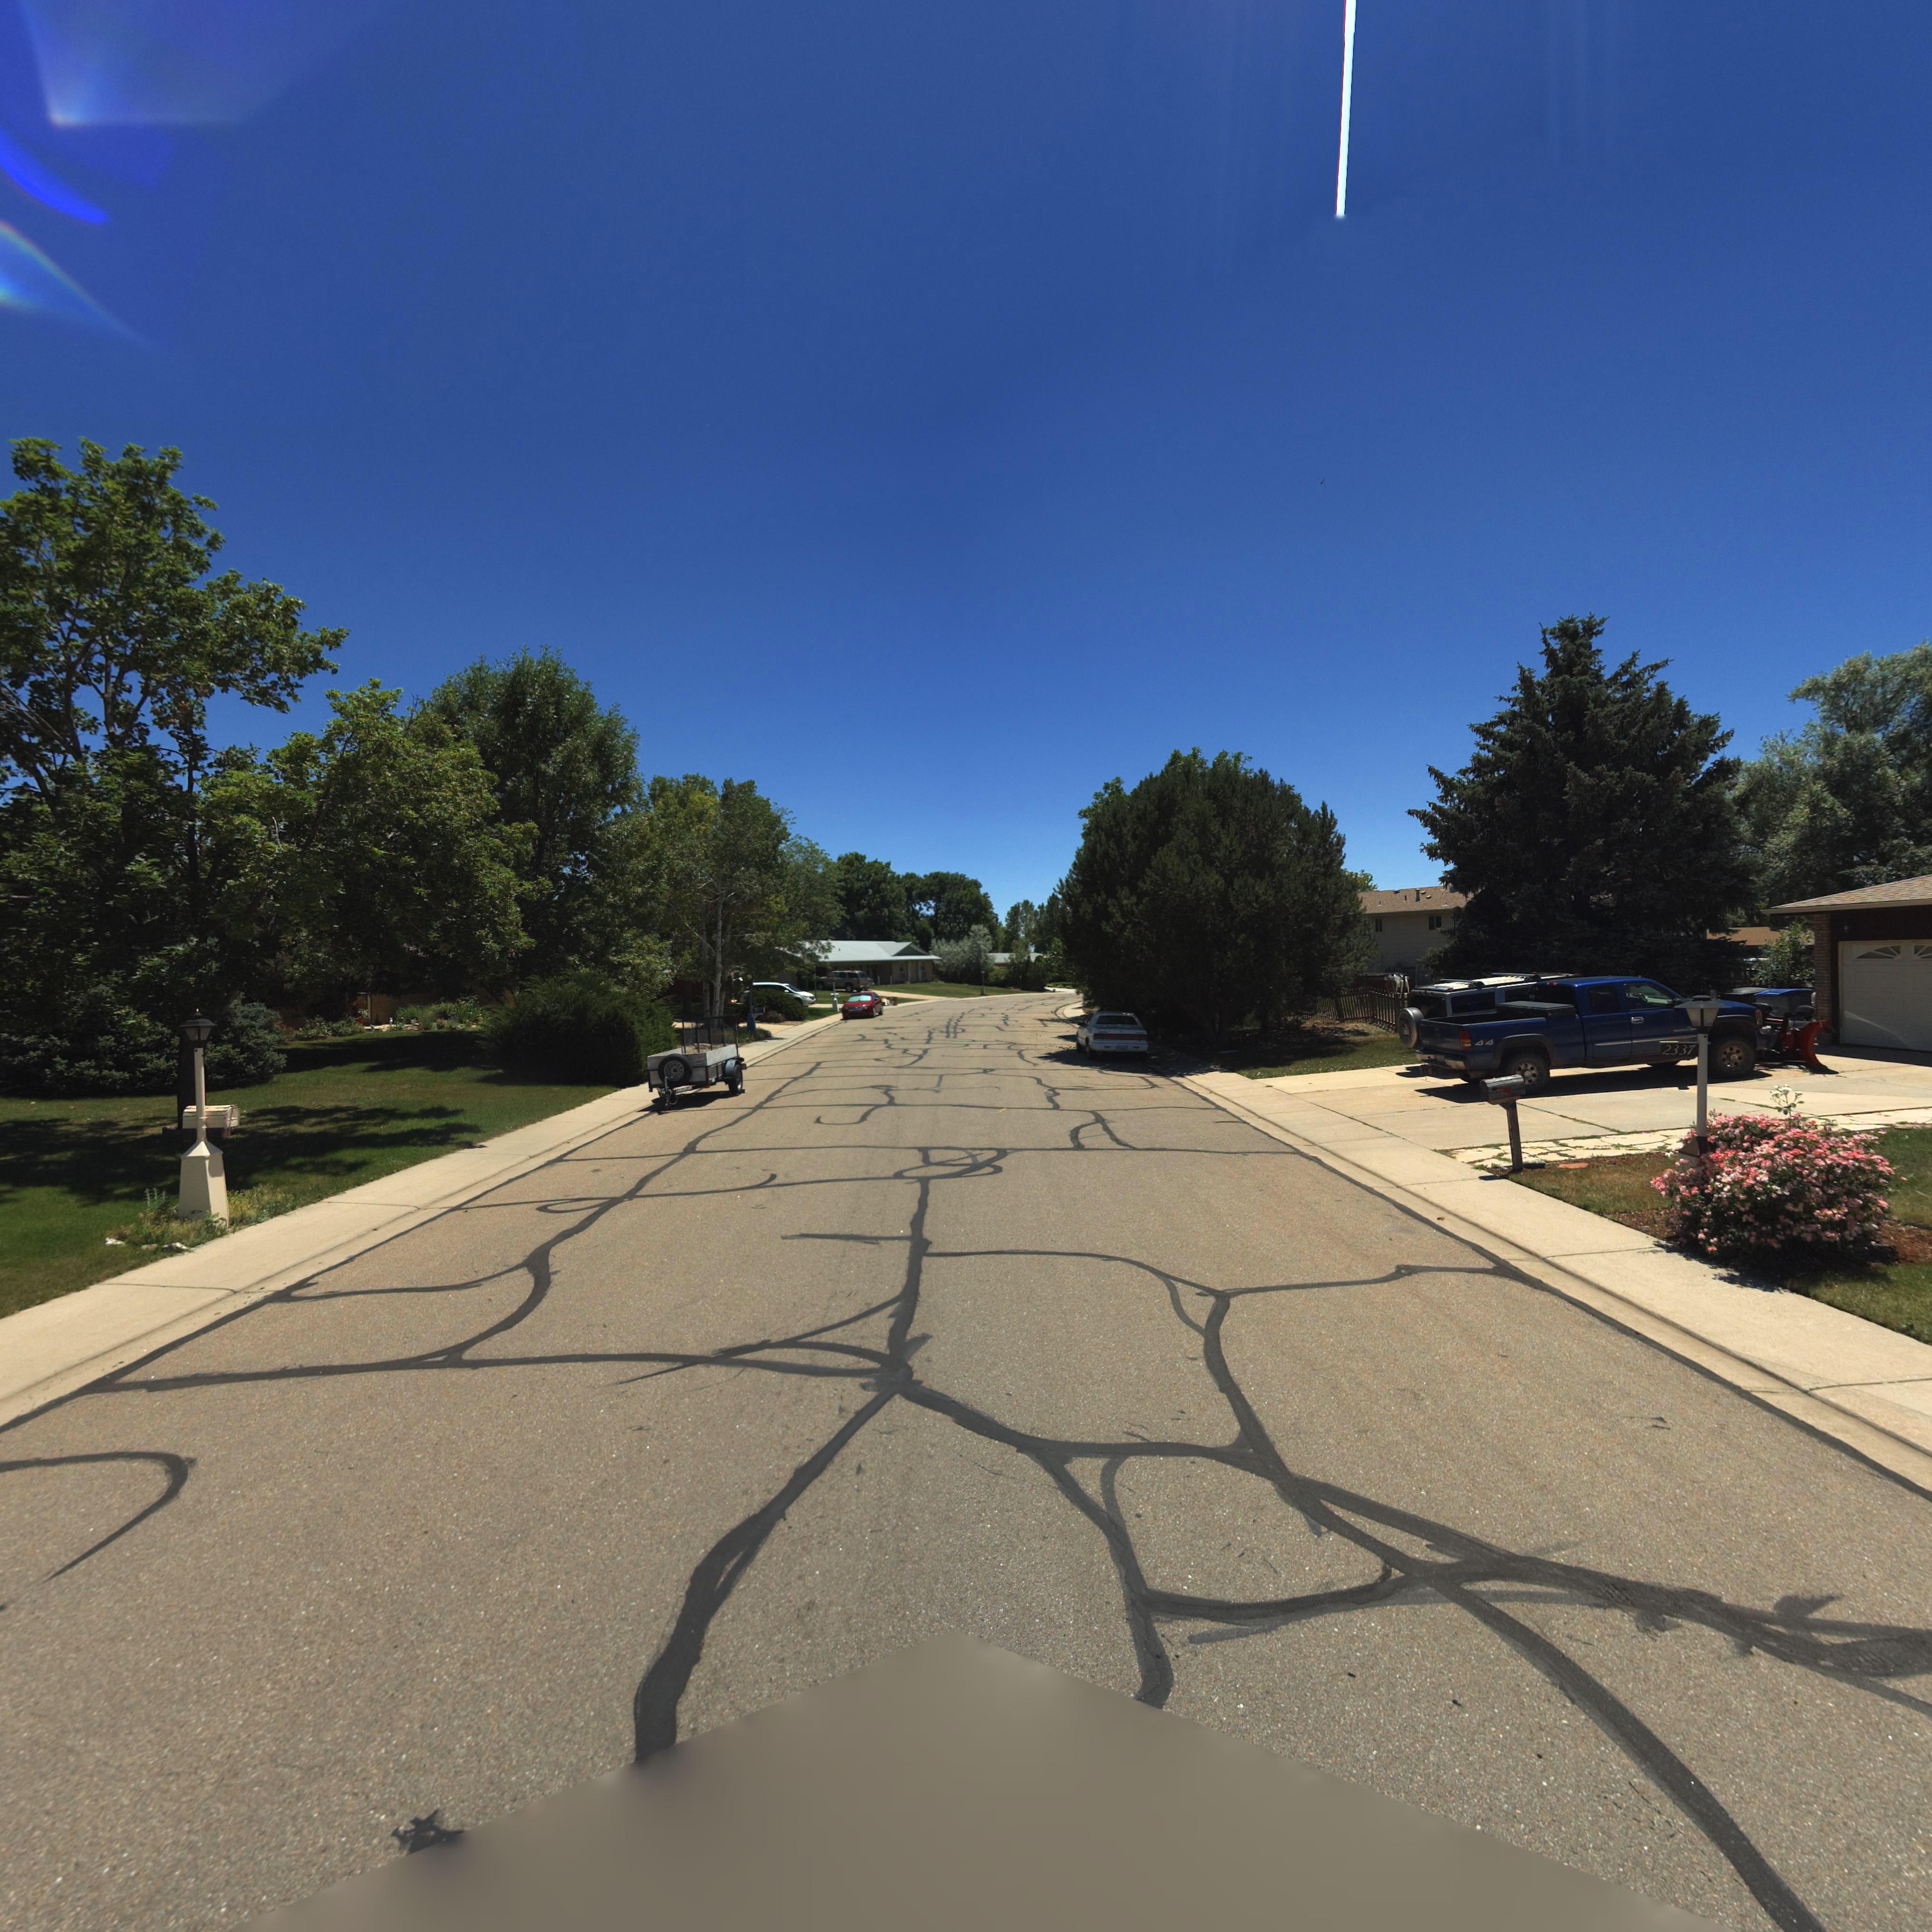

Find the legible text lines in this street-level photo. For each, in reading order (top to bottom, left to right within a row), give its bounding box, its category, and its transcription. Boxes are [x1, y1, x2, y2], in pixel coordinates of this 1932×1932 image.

[1661, 1043, 1697, 1055] StreetNumber: 2337